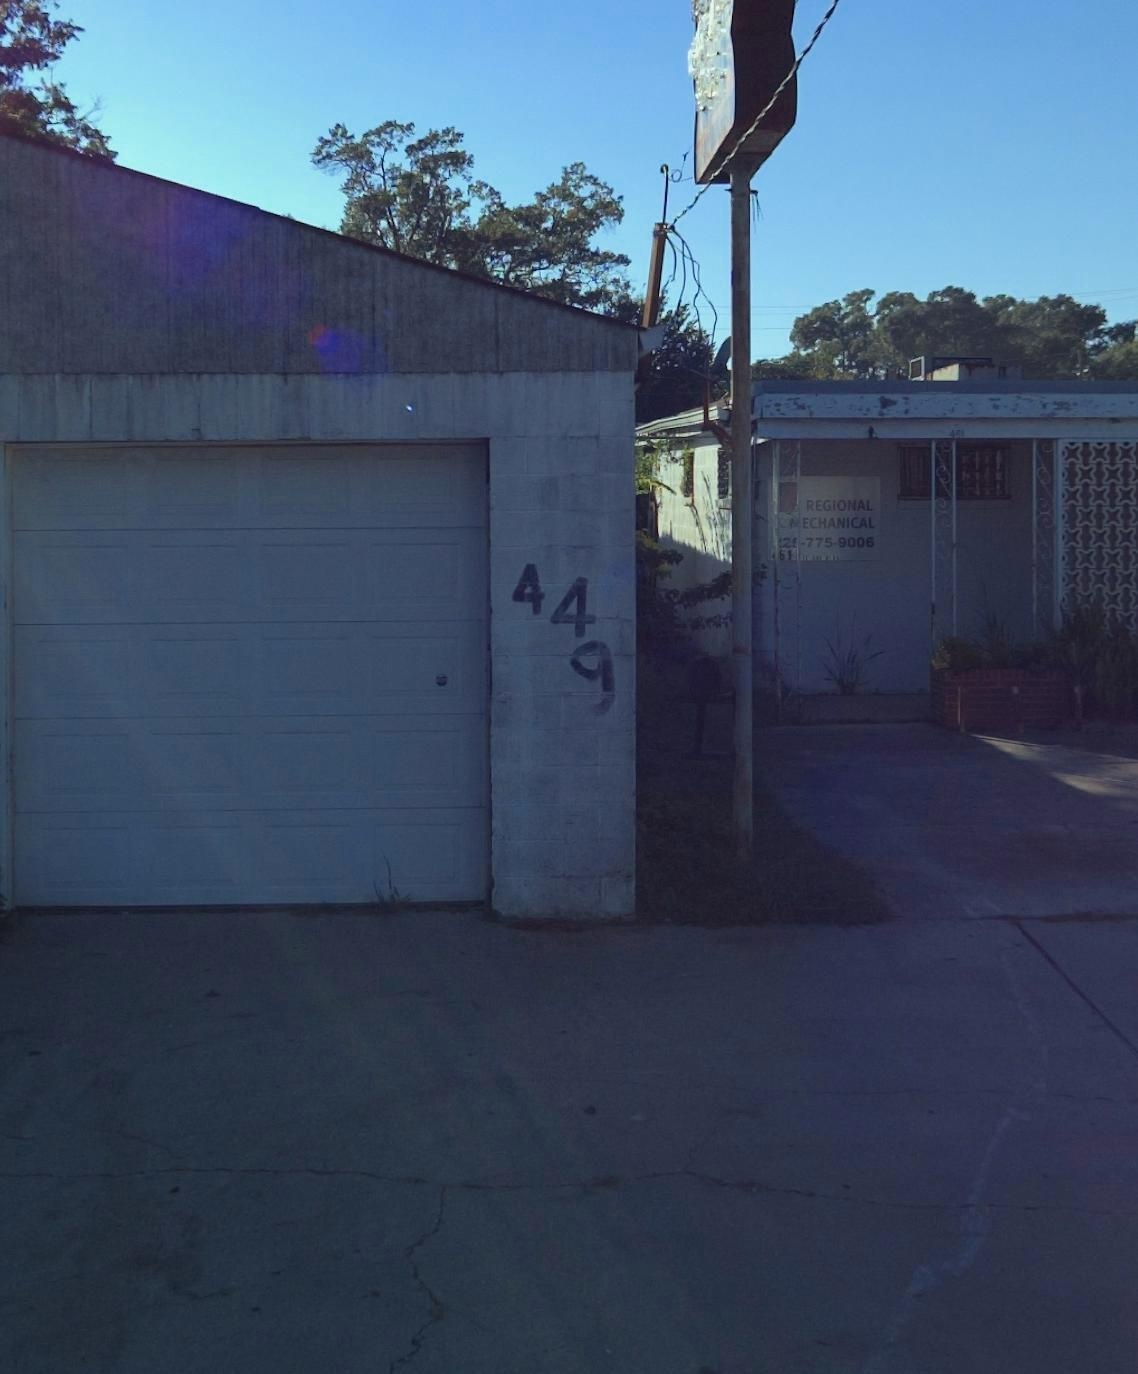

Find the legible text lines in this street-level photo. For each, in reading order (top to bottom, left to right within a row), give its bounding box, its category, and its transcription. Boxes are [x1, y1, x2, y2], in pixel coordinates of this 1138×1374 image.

[805, 497, 876, 514] BusinessName: REGIONAL
[801, 515, 877, 531] BusinessName: ECHANICAL
[803, 534, 878, 550] None: 775-9006
[777, 547, 794, 563] StreetNumber: 61
[507, 560, 626, 721] StreetNumber: 449